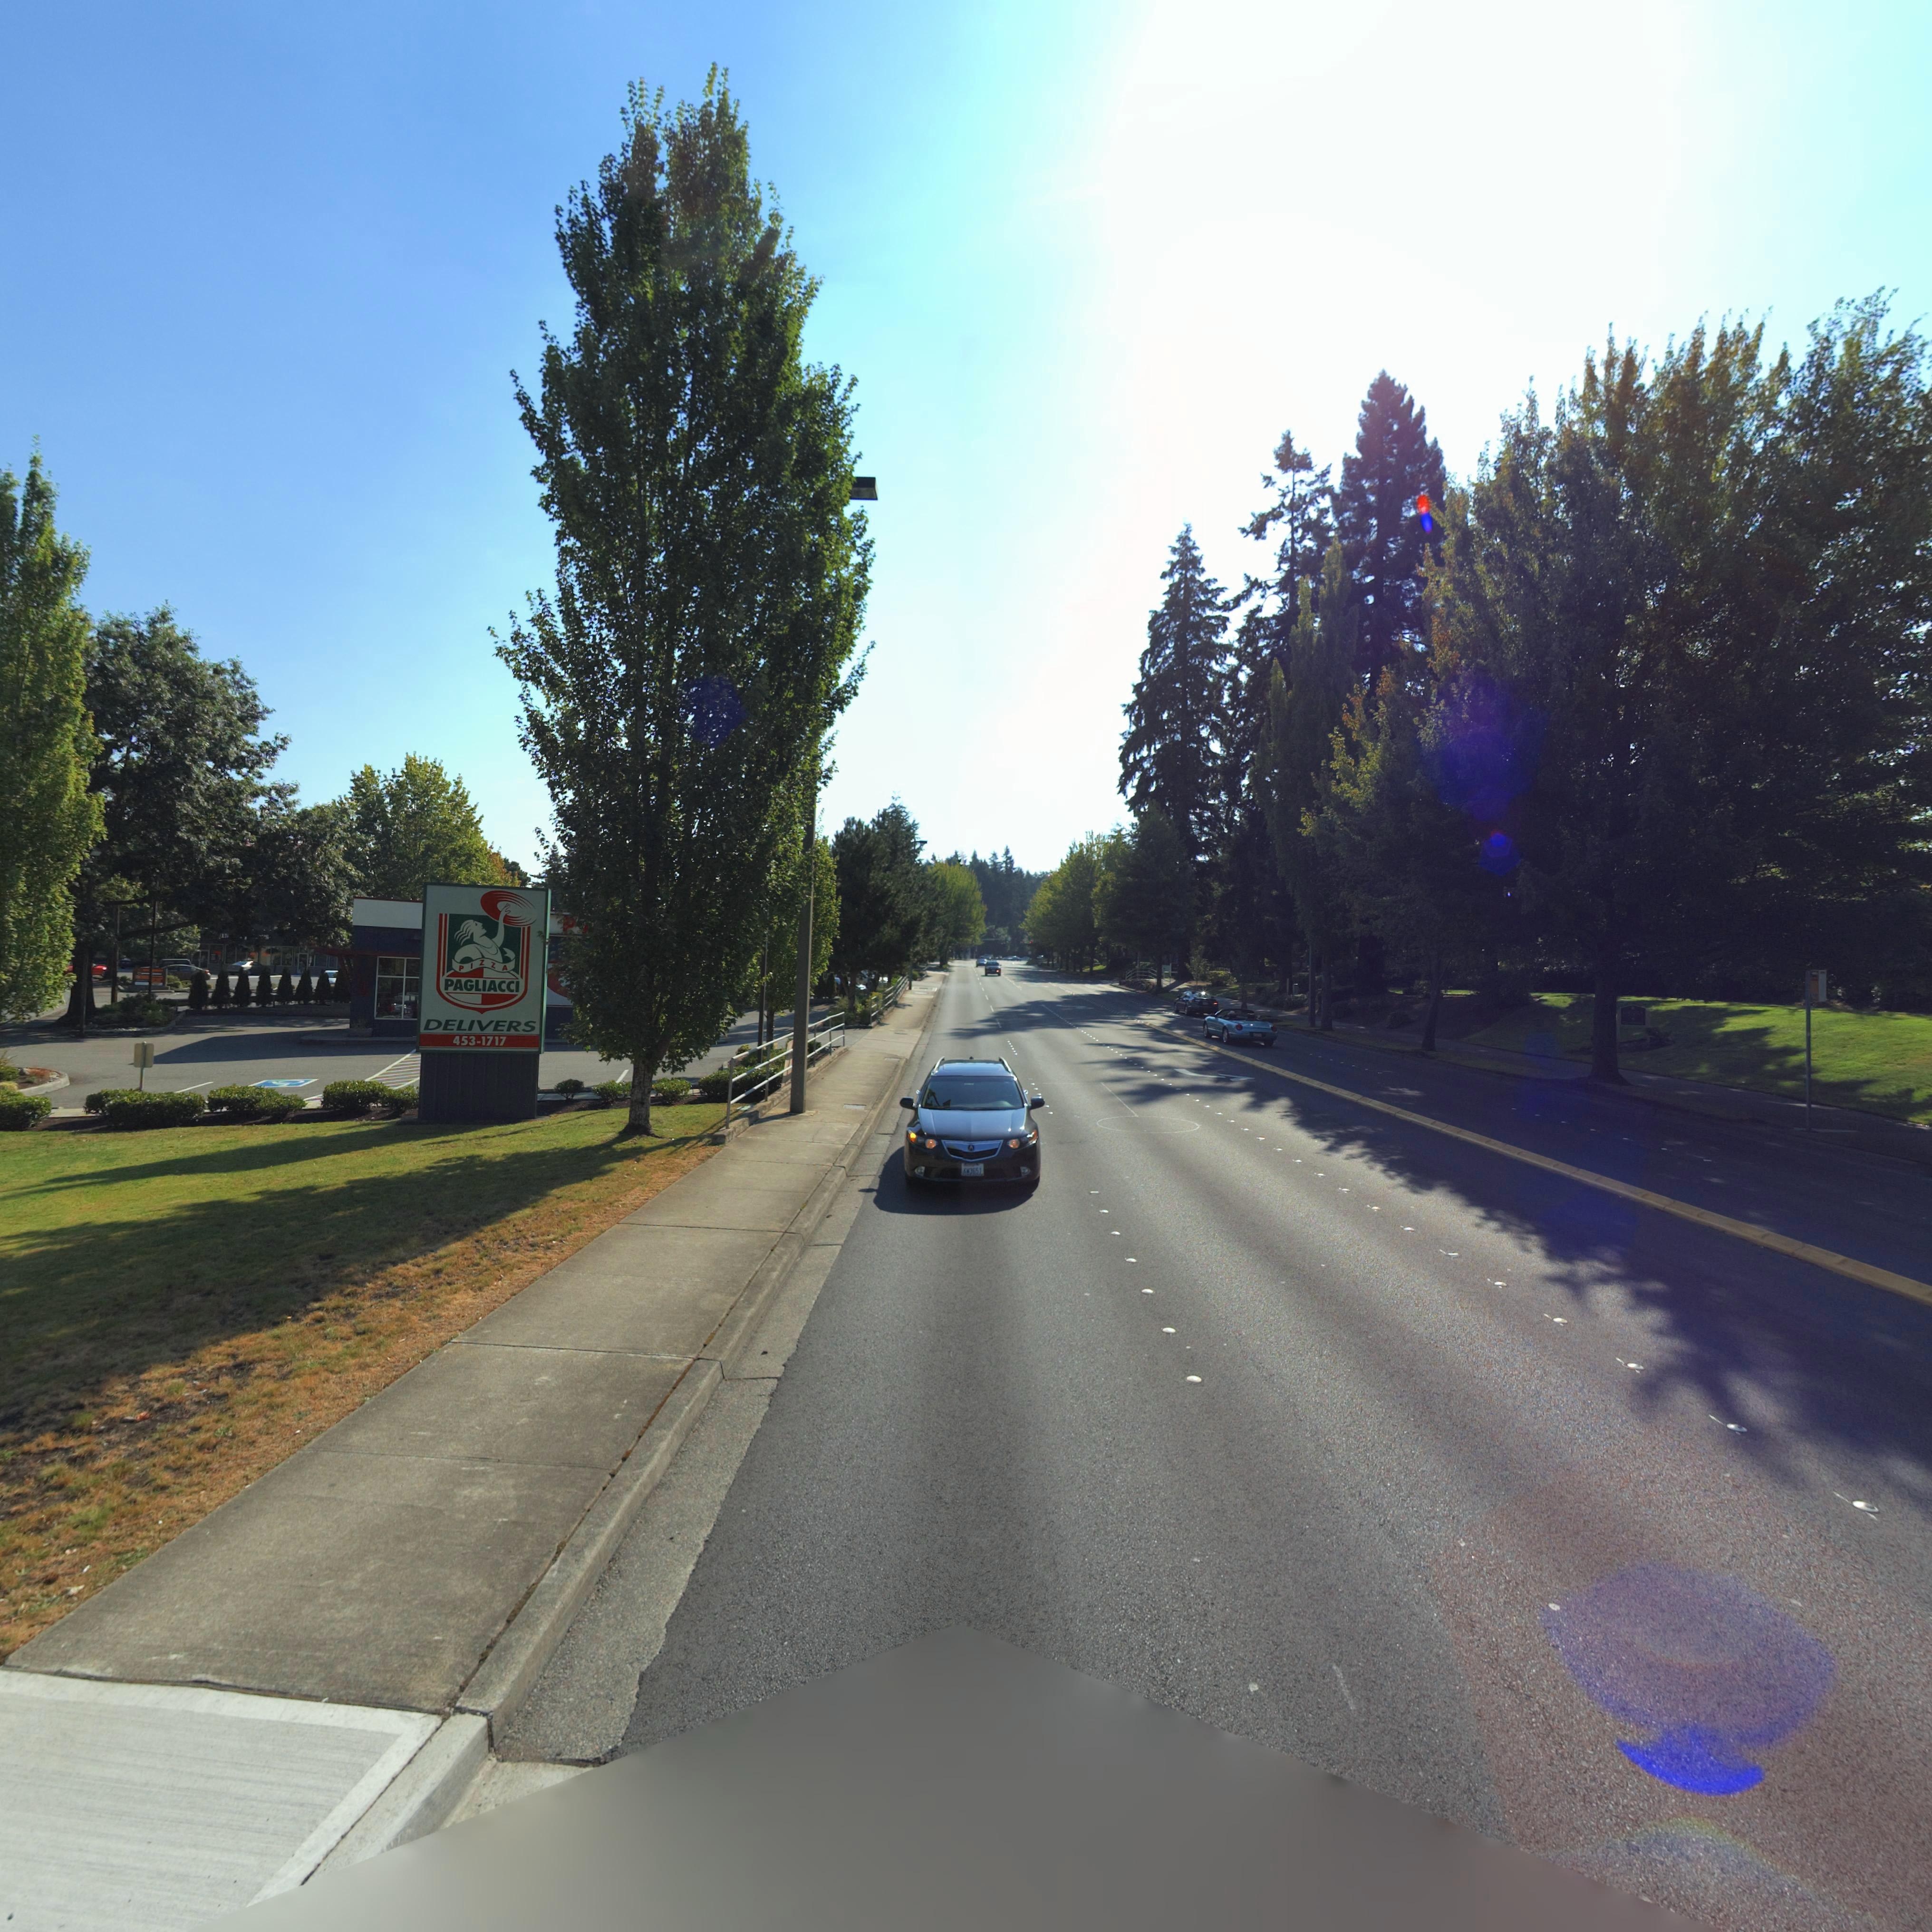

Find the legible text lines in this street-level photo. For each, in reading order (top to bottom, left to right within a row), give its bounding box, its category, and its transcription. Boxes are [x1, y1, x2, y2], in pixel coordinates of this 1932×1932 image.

[458, 959, 508, 971] BusinessName: PIZZA
[444, 978, 520, 993] BusinessName: PAGLIACCI